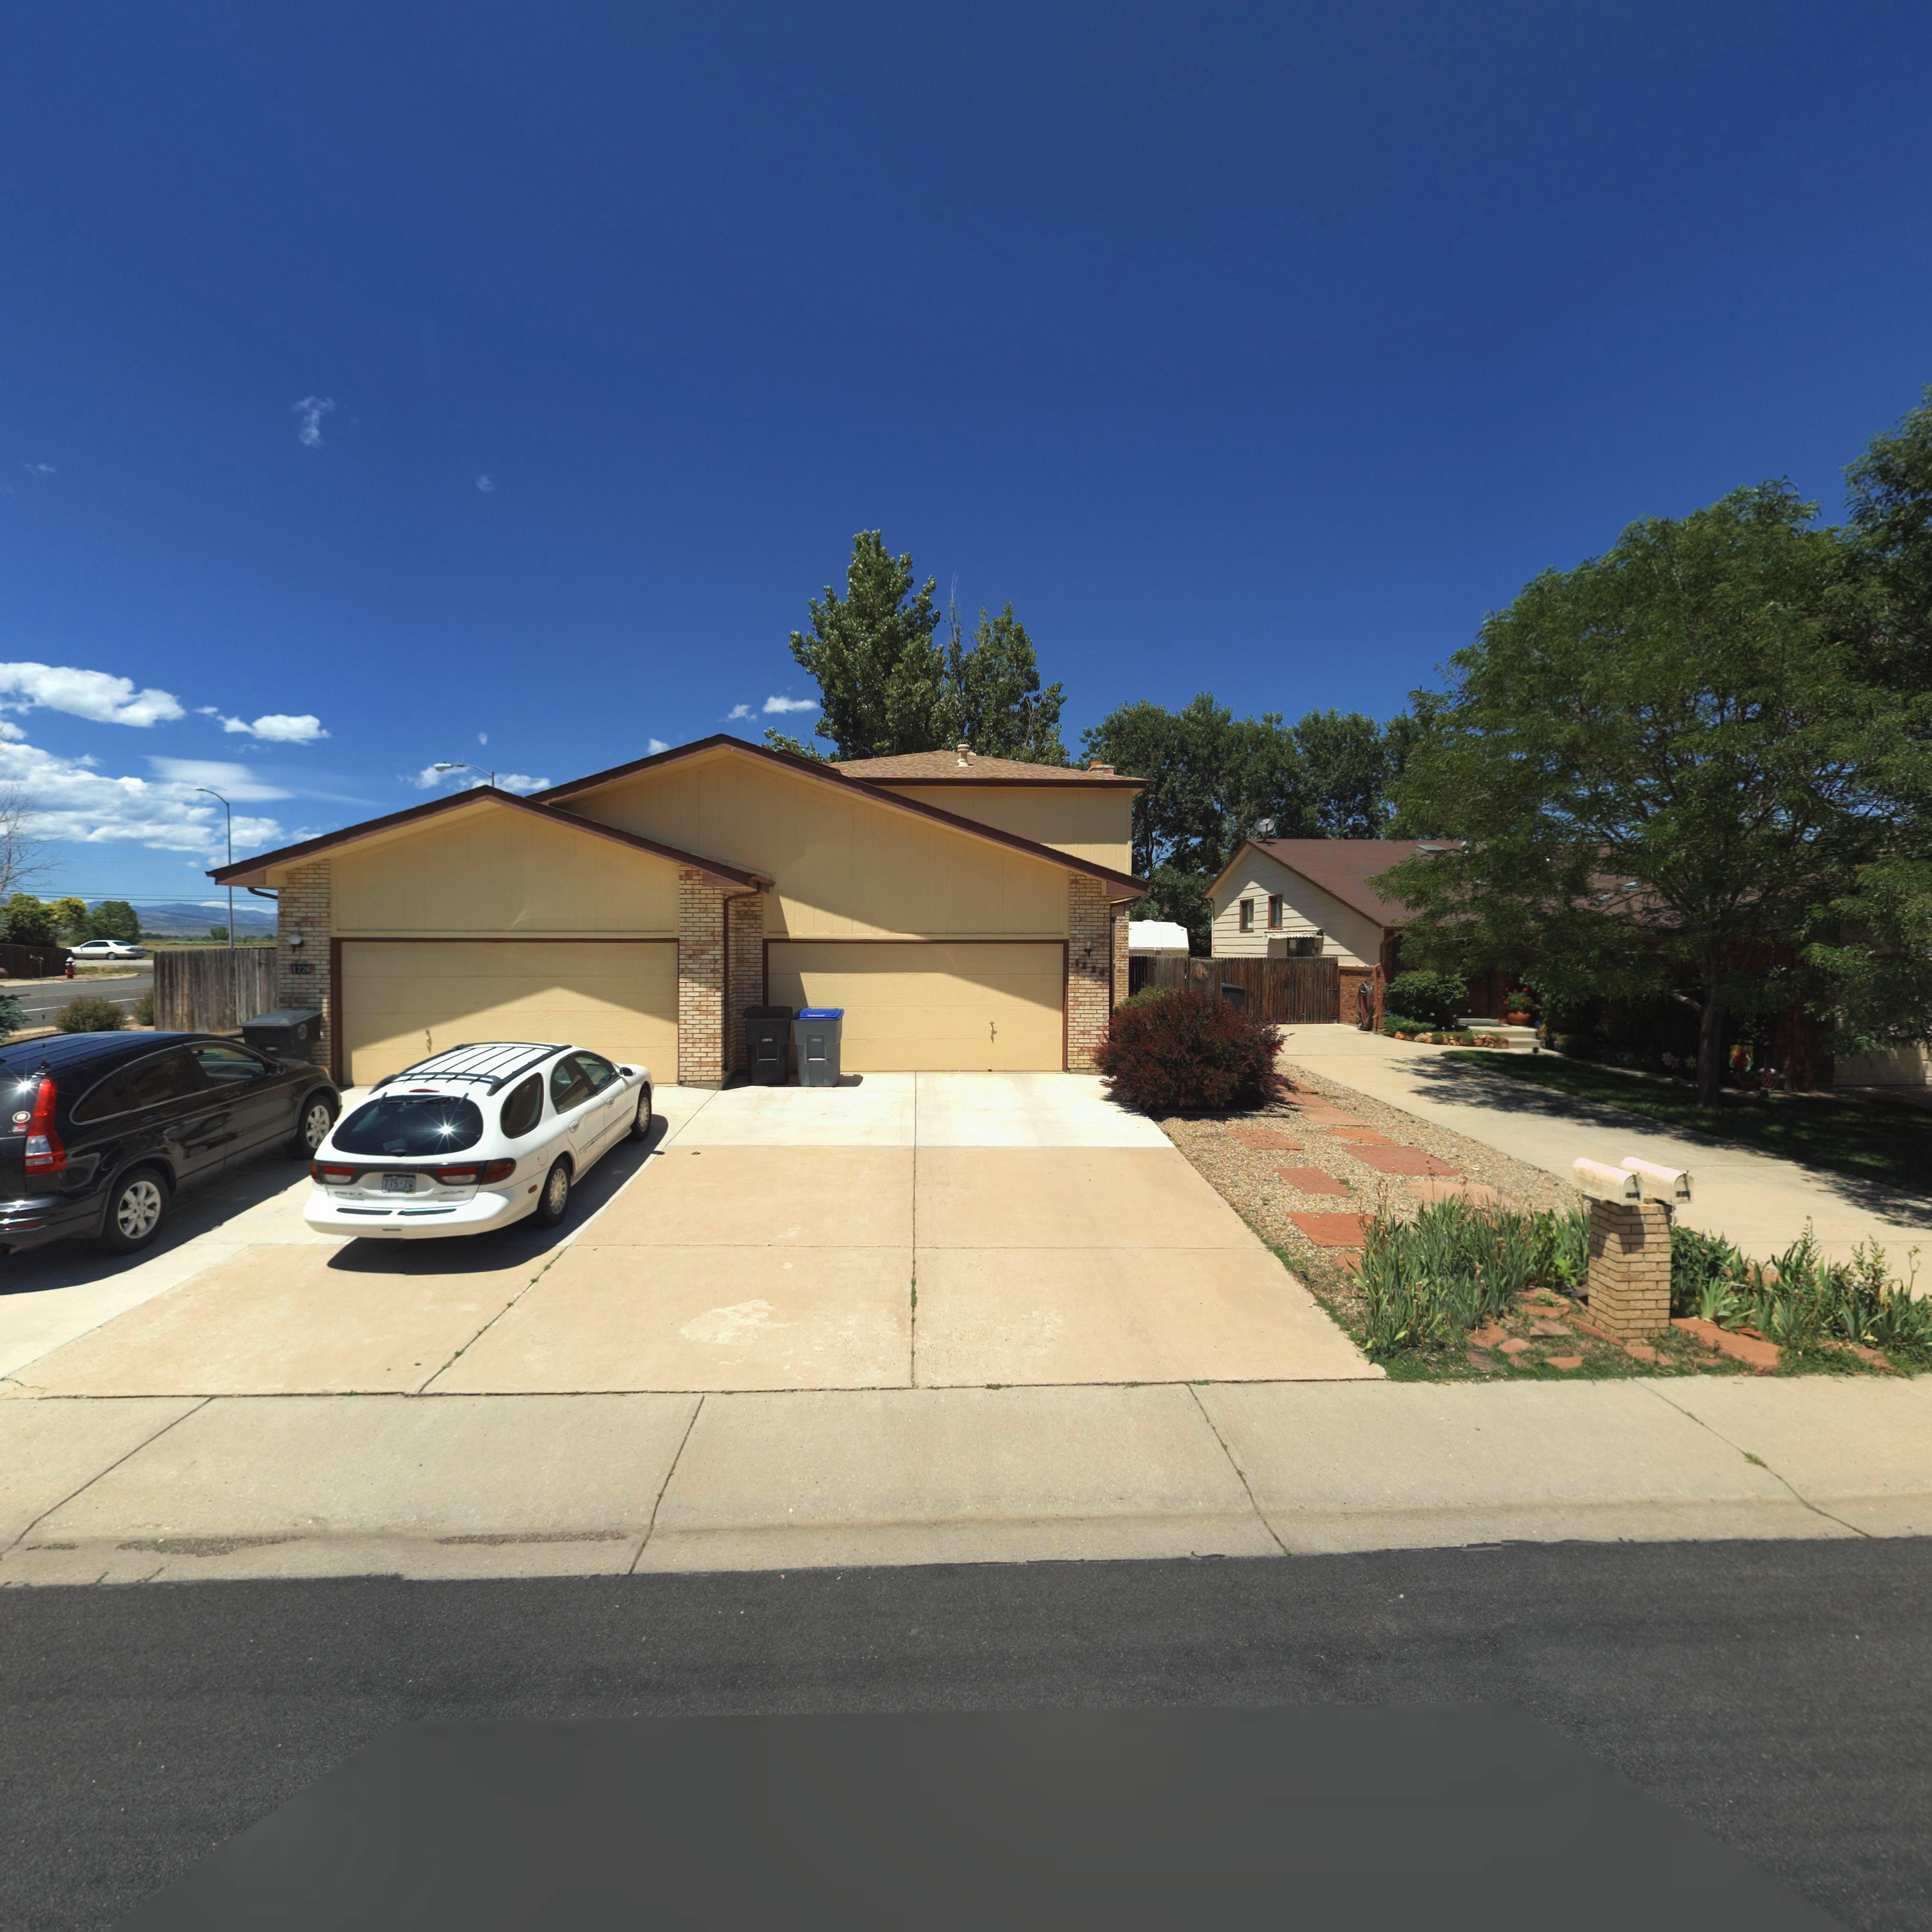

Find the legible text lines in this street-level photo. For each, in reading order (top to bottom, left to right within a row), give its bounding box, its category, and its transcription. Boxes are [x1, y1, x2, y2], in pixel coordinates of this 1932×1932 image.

[293, 965, 311, 973] StreetNumber: 1226
[1075, 958, 1105, 976] StreetNumber: 1224